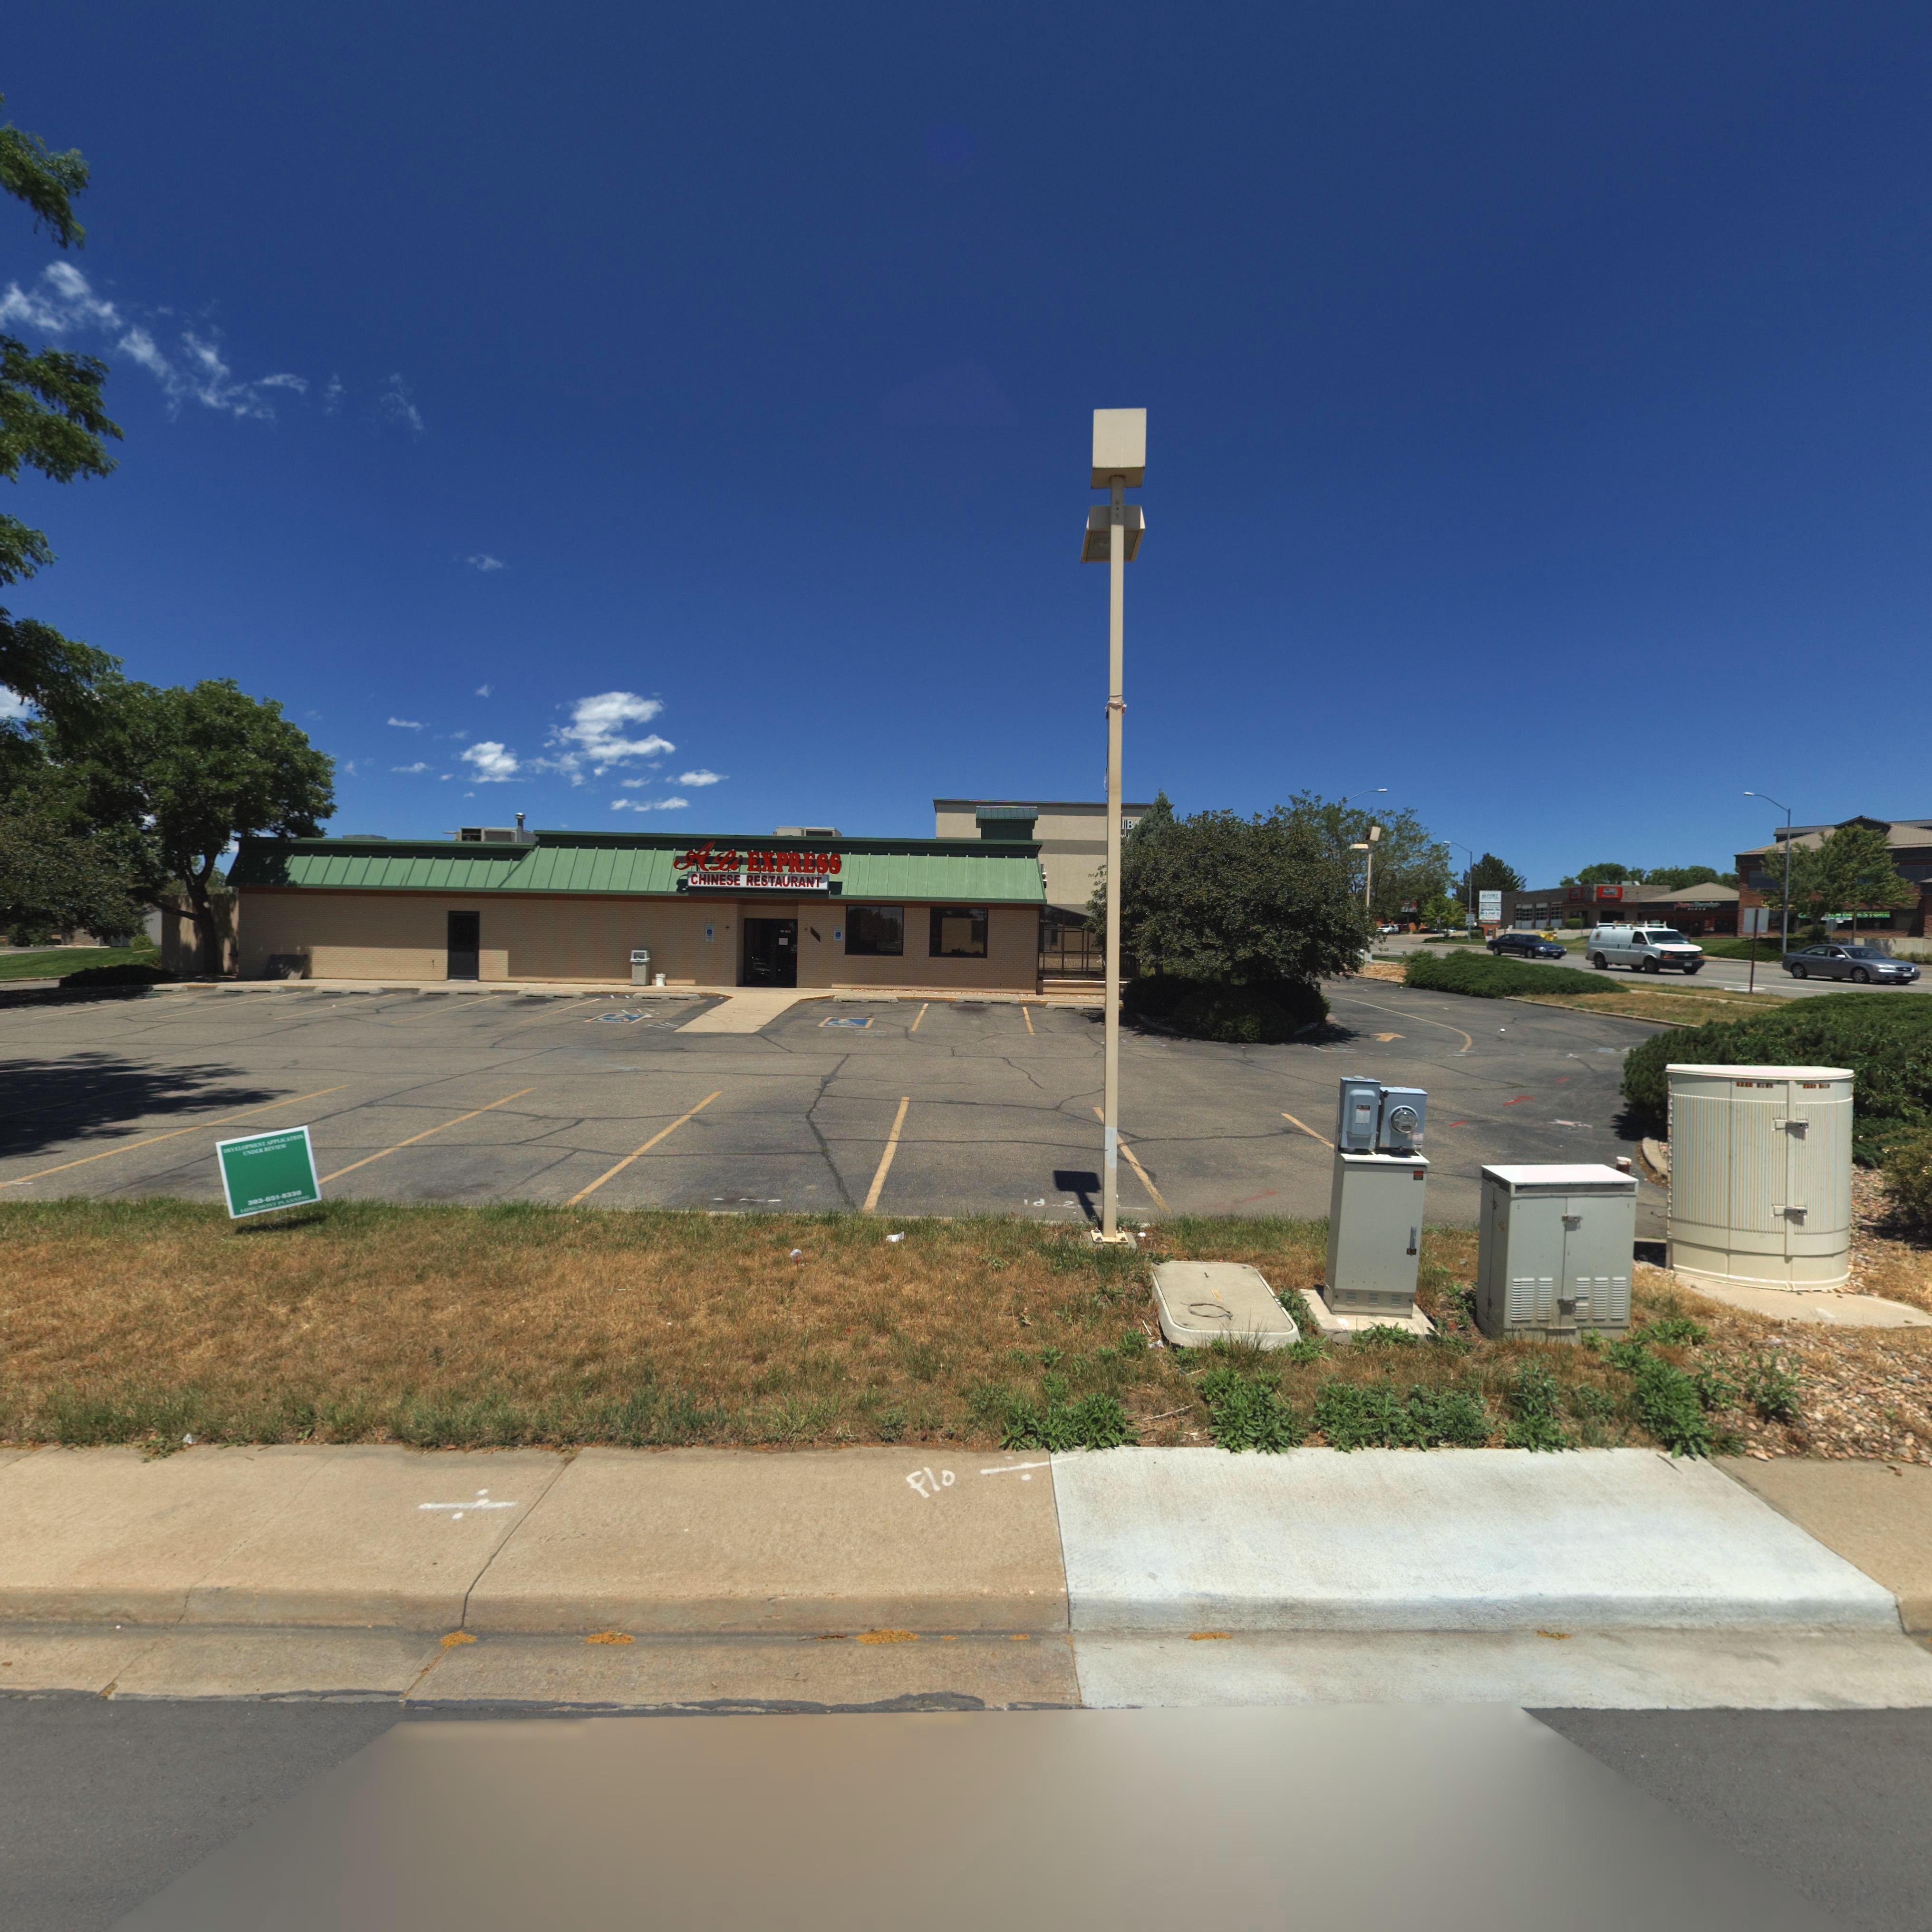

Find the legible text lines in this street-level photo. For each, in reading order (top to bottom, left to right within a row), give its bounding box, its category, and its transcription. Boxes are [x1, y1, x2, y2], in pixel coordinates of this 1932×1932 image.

[1121, 819, 1138, 830] BusinessName: 1B*
[672, 839, 743, 872] BusinessName: Ali
[746, 849, 841, 874] BusinessName: EXPRESS
[690, 873, 822, 888] BusinessName: CHINESE RESTAURANT